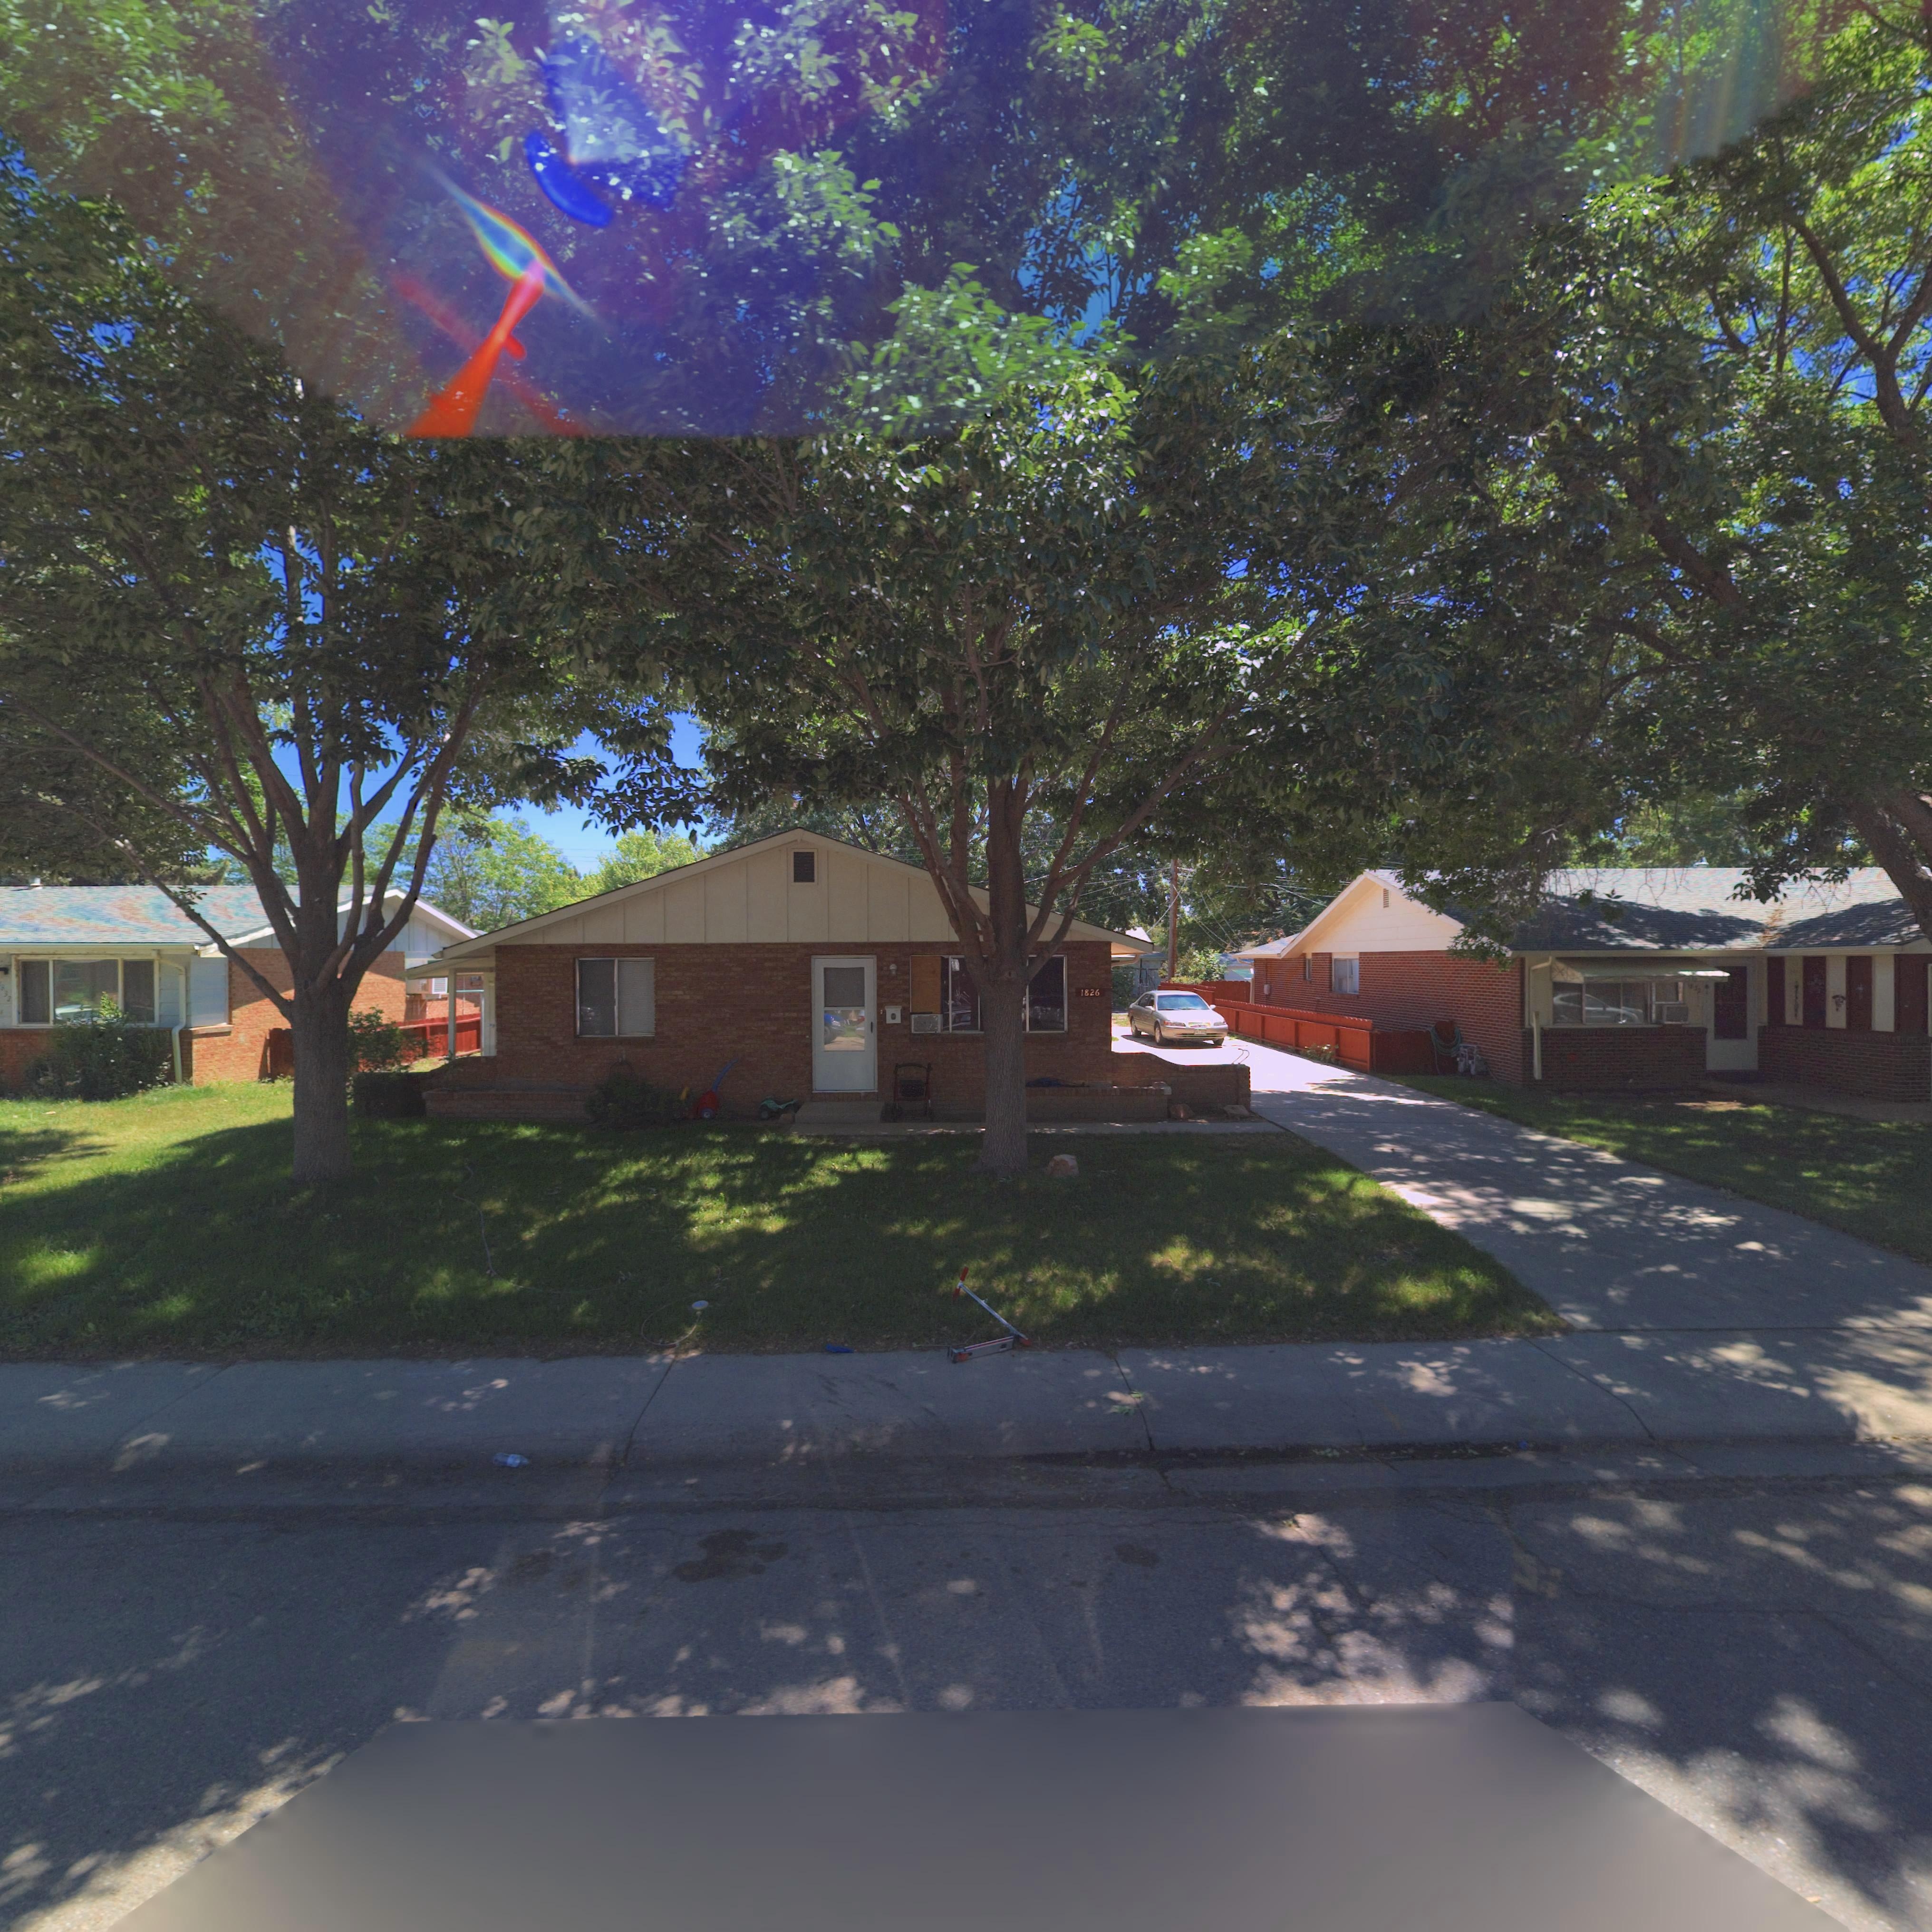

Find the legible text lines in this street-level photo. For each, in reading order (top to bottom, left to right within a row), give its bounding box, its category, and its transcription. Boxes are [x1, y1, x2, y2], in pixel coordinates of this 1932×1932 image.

[0, 983, 11, 1002] StreetNumber: 83*
[1081, 989, 1100, 996] StreetNumber: 1826
[1686, 981, 1701, 993] StreetNumber: 18*2